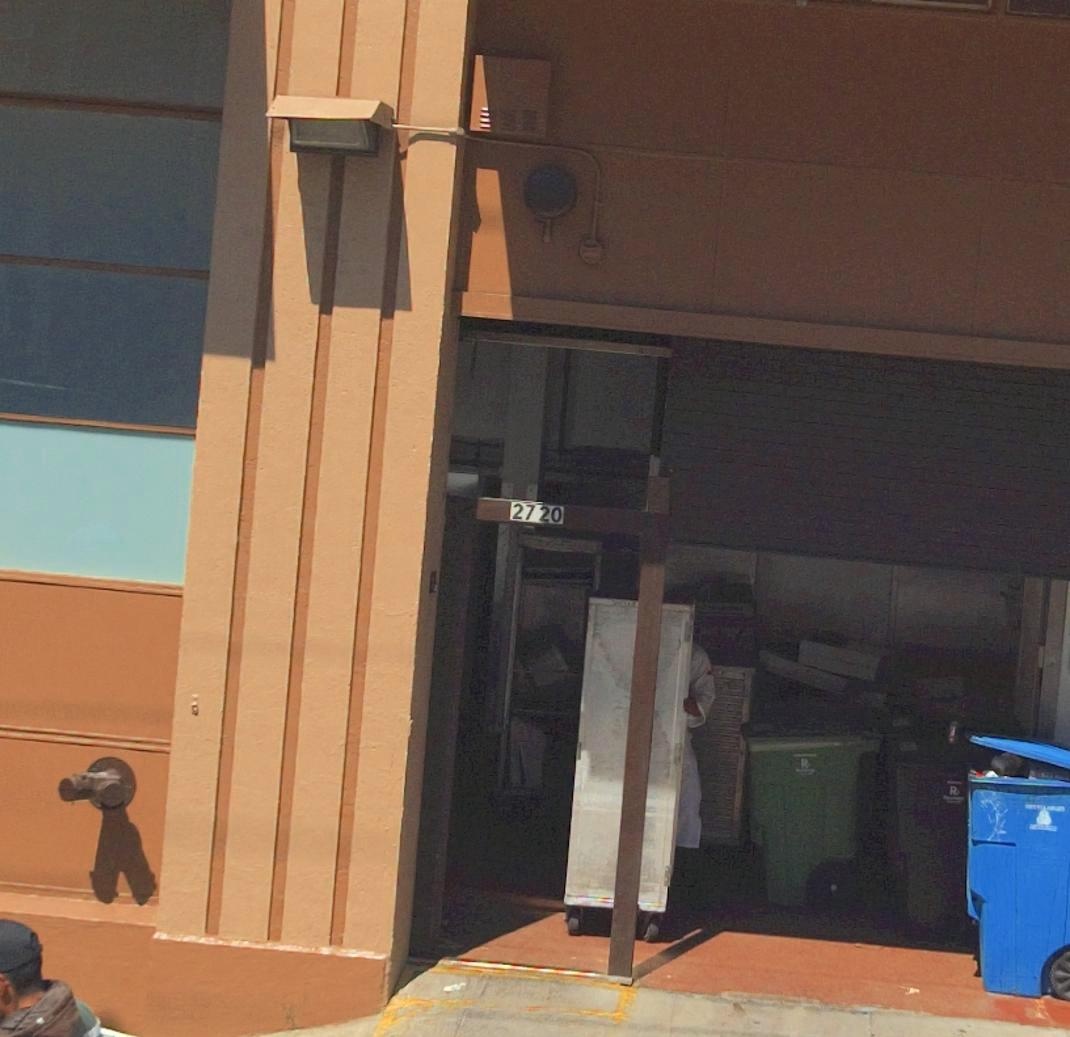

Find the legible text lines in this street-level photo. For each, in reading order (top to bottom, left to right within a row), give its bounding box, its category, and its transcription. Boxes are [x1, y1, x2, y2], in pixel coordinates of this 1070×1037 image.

[512, 502, 564, 524] StreetNumber: 2720